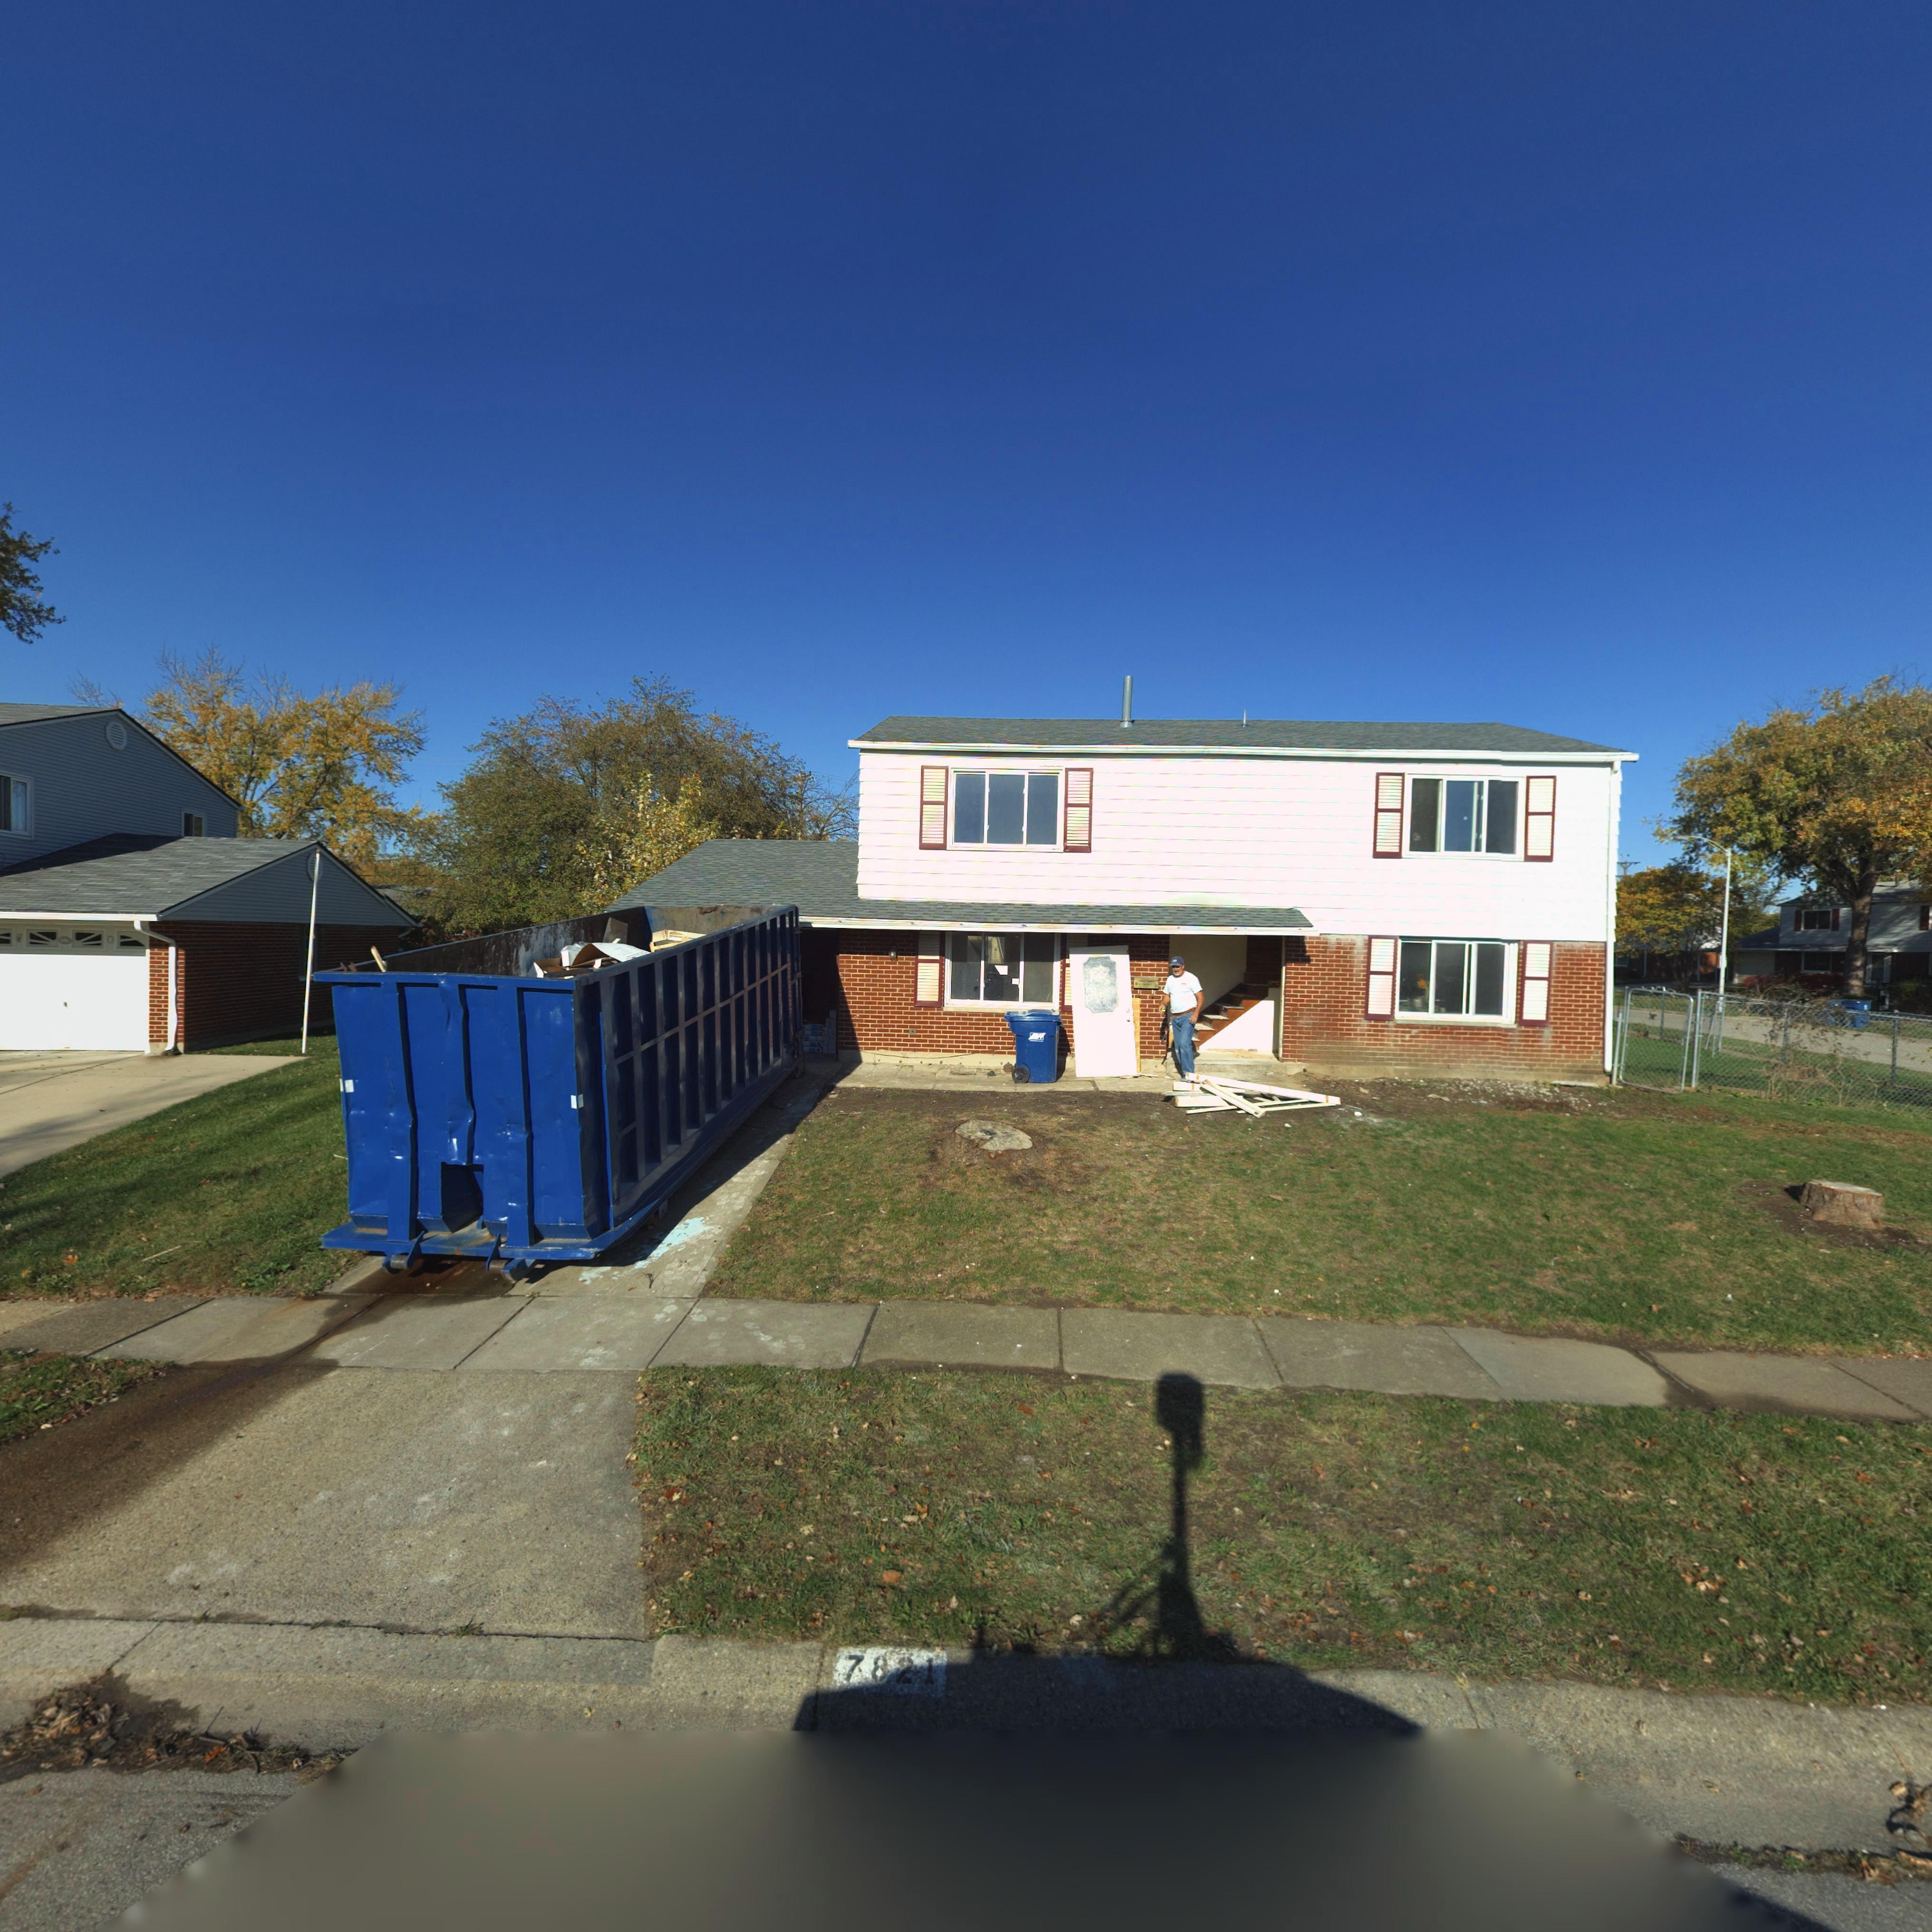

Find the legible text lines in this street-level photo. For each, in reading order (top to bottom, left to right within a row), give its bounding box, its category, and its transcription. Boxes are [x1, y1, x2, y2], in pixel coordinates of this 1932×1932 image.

[840, 1652, 937, 1688] StreetNumber: 7821